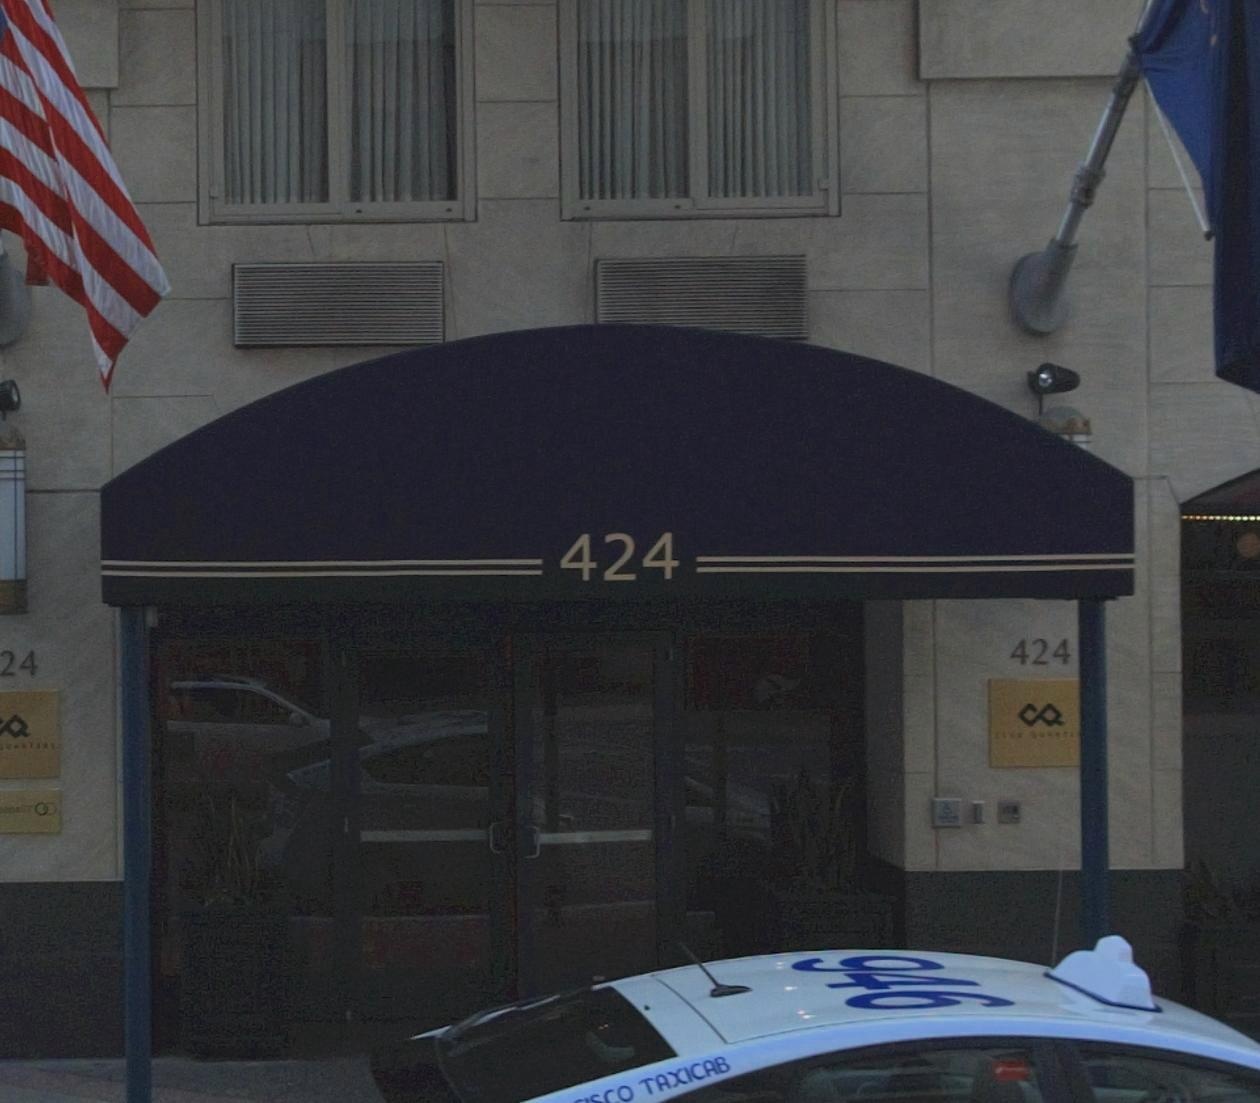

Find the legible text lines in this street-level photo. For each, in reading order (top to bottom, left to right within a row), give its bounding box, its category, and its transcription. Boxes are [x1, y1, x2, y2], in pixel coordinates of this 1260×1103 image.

[558, 530, 682, 583] StreetNumber: 424
[1, 648, 39, 677] StreetNumber: 24
[1007, 637, 1072, 667] StreetNumber: 424
[789, 953, 1023, 1012] None: 946
[616, 1054, 733, 1103] None: O TAXICAB